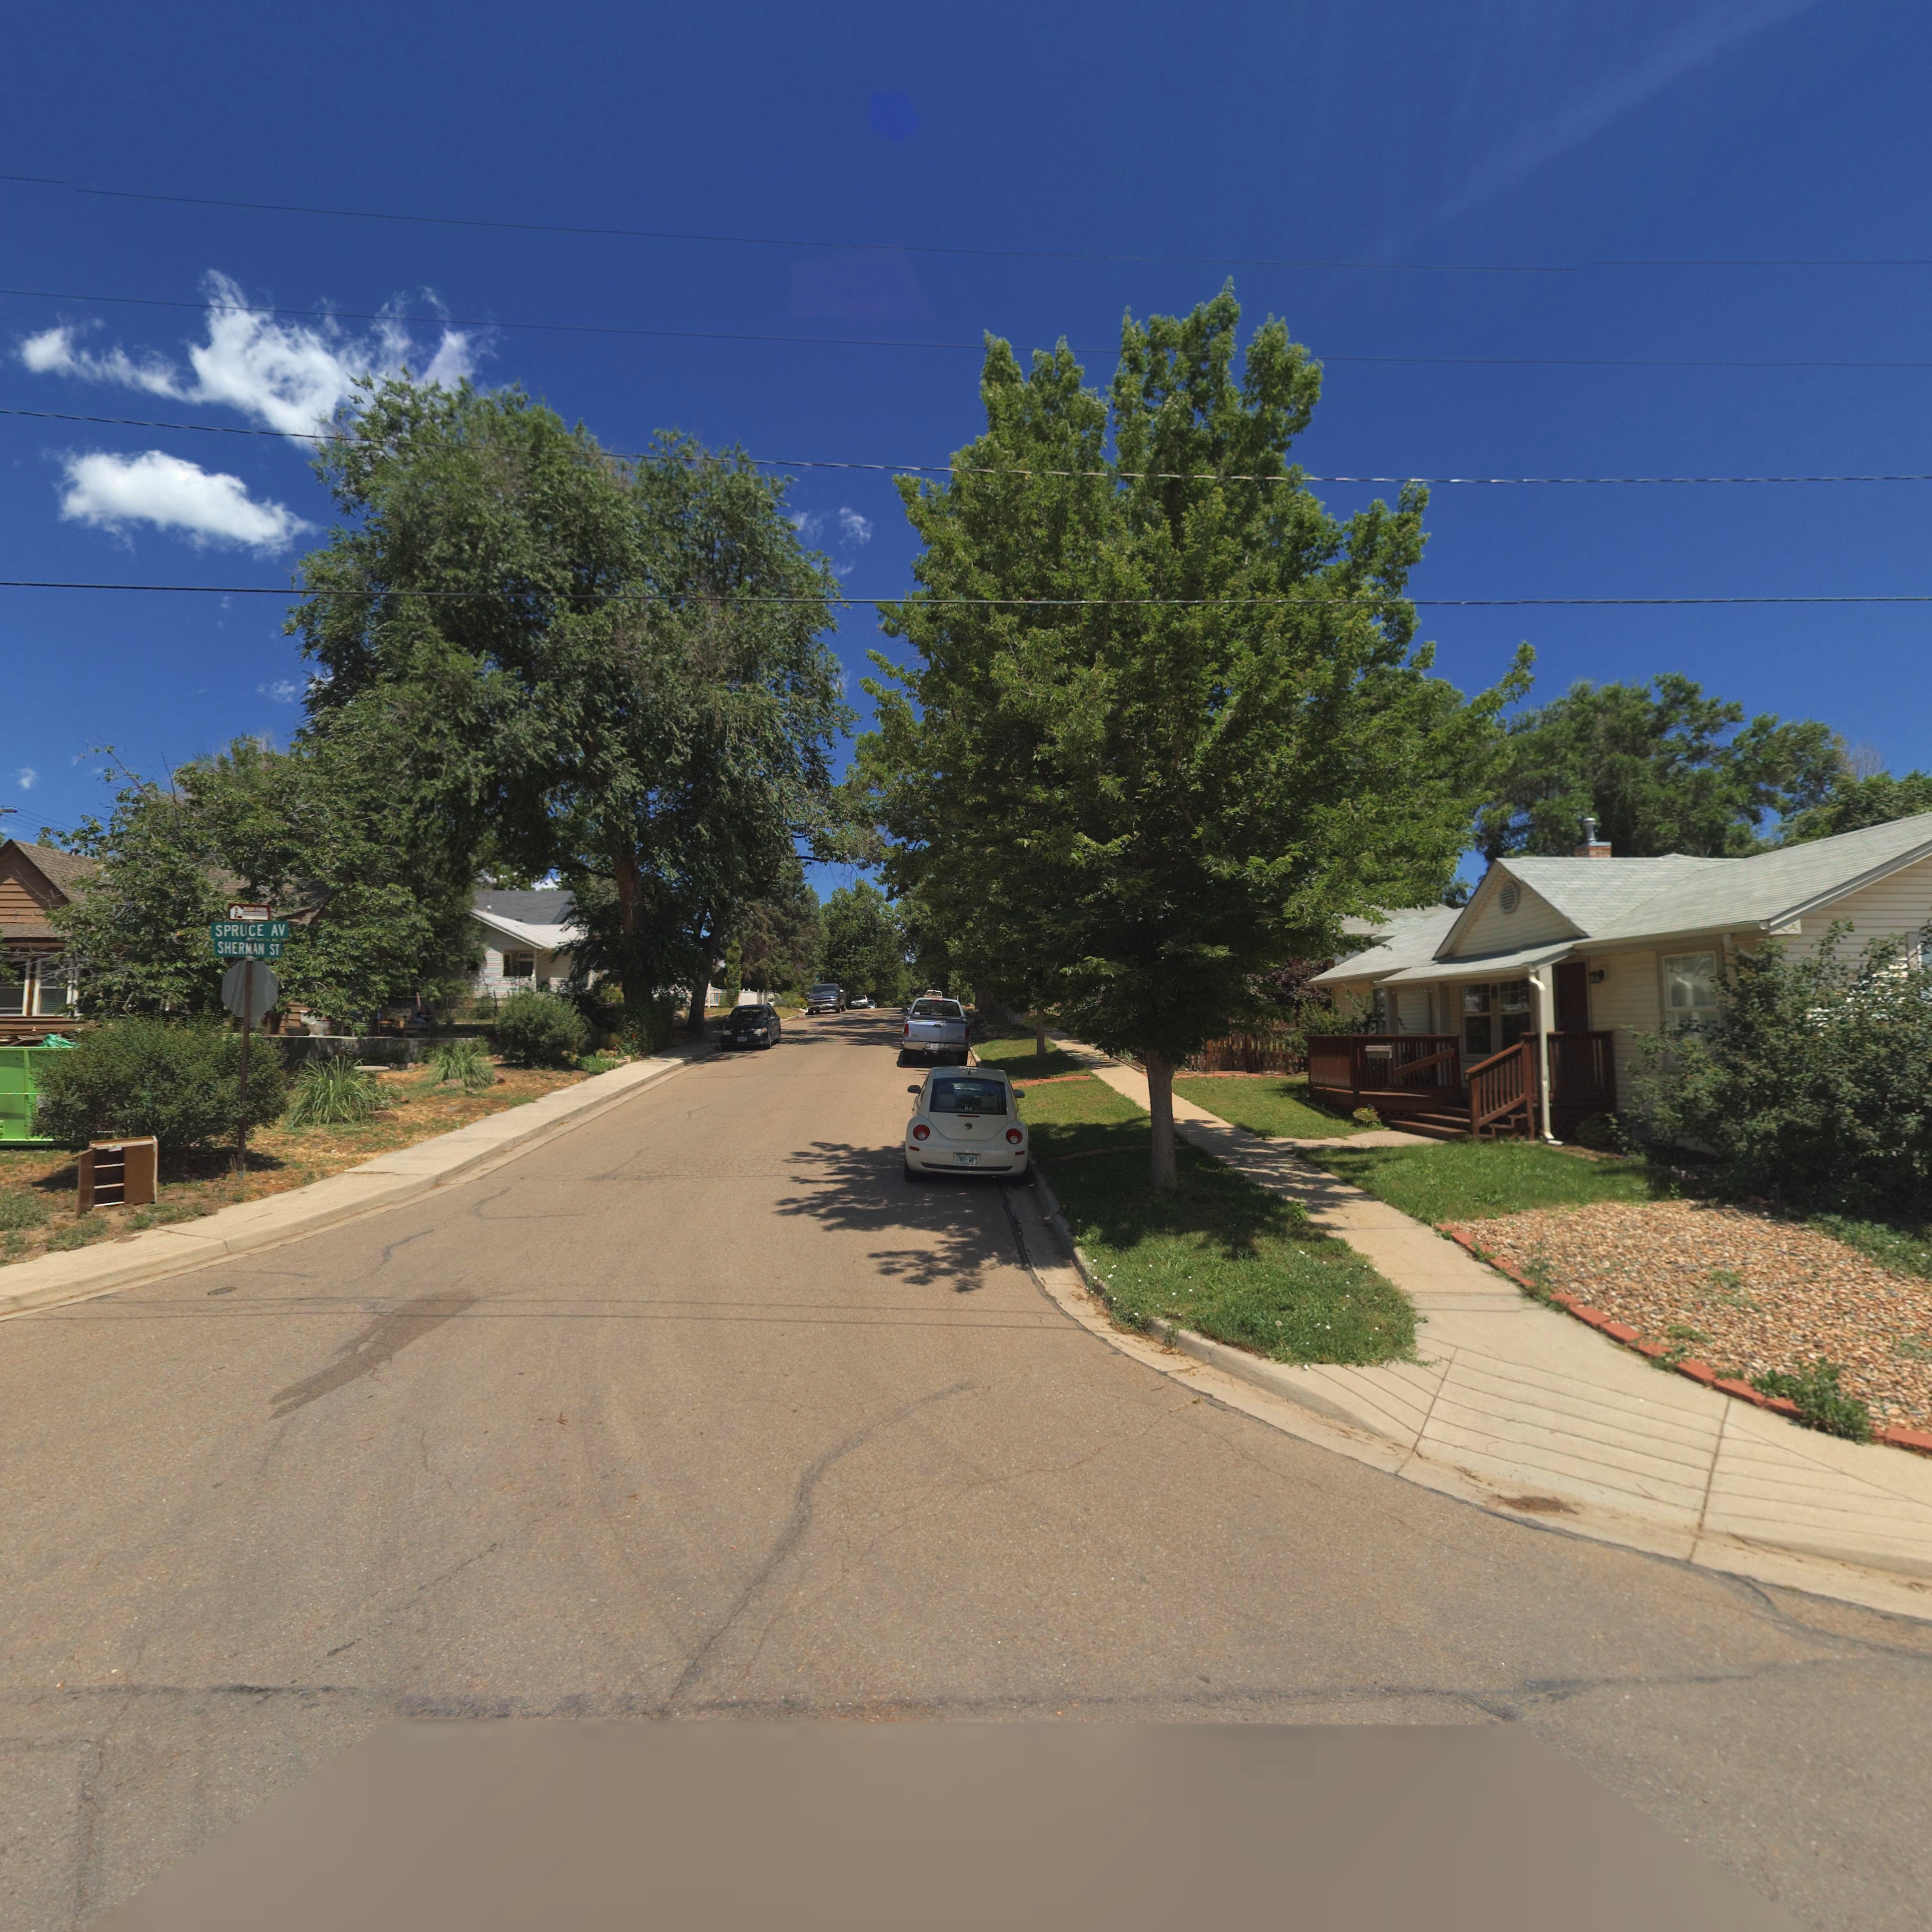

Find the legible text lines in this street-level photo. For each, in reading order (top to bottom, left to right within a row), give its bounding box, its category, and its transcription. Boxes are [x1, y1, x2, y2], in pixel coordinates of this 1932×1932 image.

[215, 924, 286, 937] StreetName: SPRUCE AV
[217, 941, 280, 956] StreetName: SHERMAN ST
[1435, 987, 1439, 1009] StreetNumber: 20*